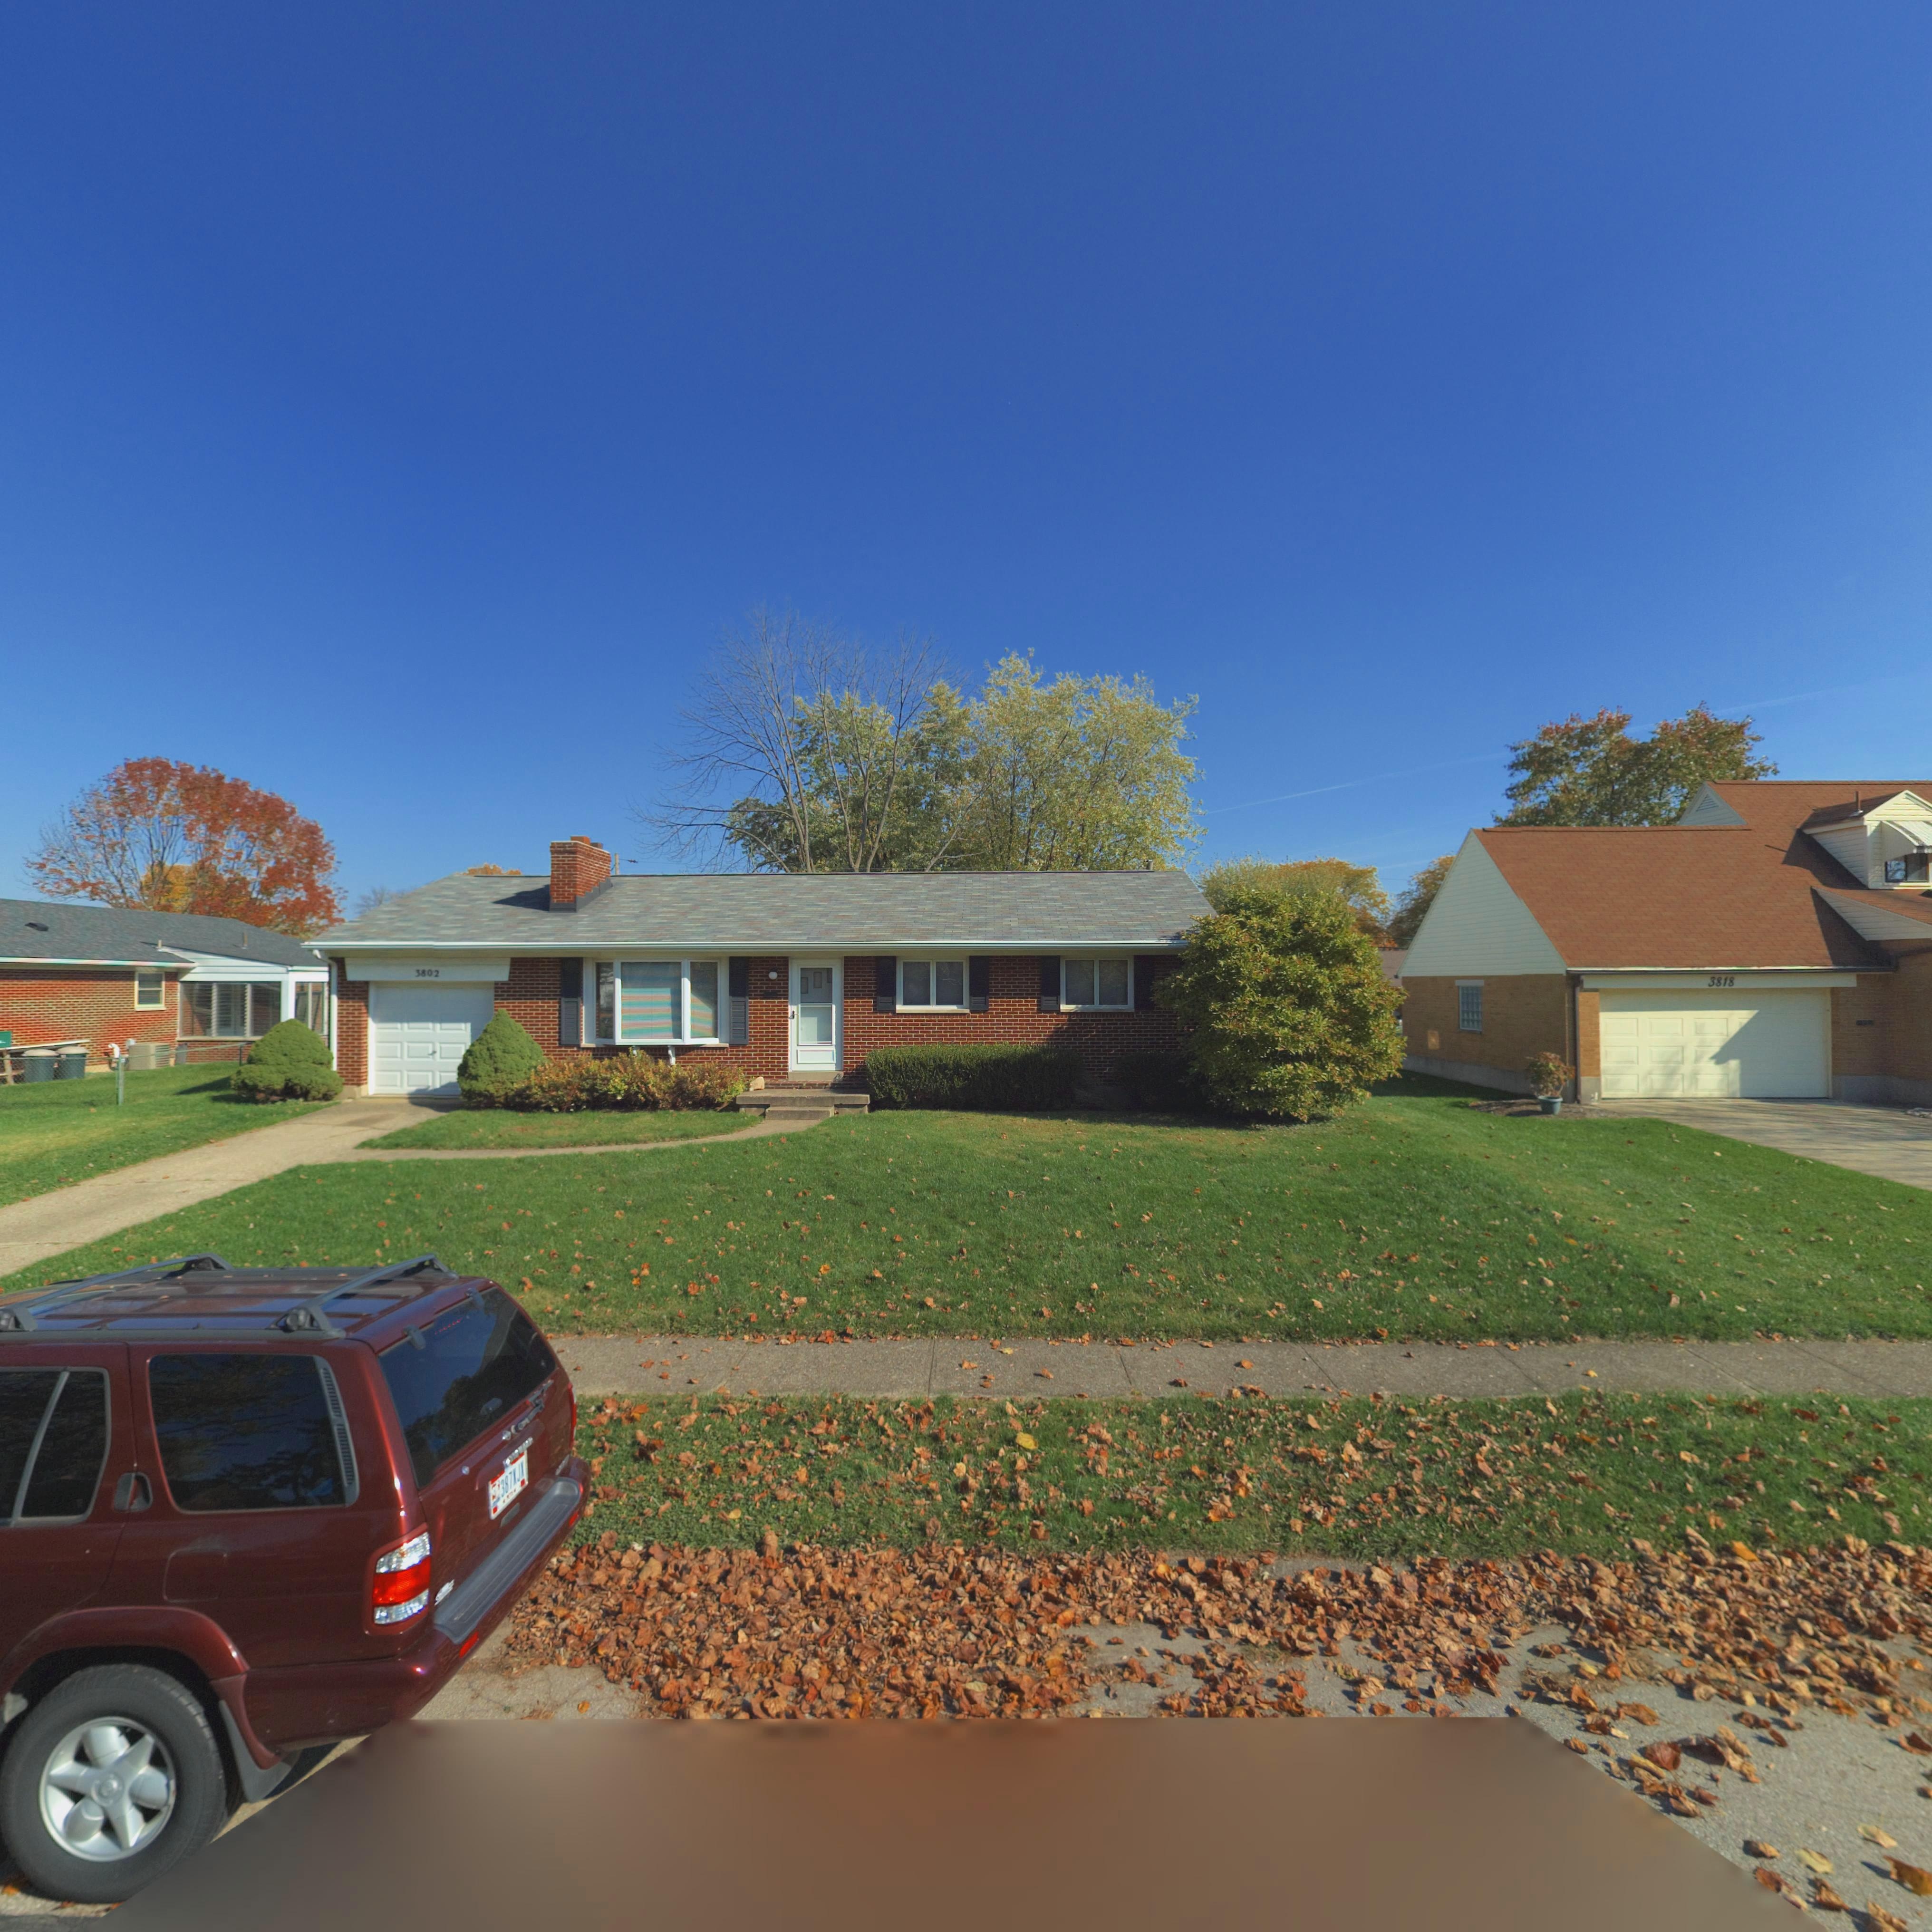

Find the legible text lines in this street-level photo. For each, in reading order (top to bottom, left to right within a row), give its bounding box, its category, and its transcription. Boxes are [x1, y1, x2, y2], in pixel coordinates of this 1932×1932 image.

[414, 968, 440, 978] StreetNumber: 3802
[1708, 976, 1736, 987] StreetNumber: 3818
[499, 1459, 525, 1499] None: 387XJX